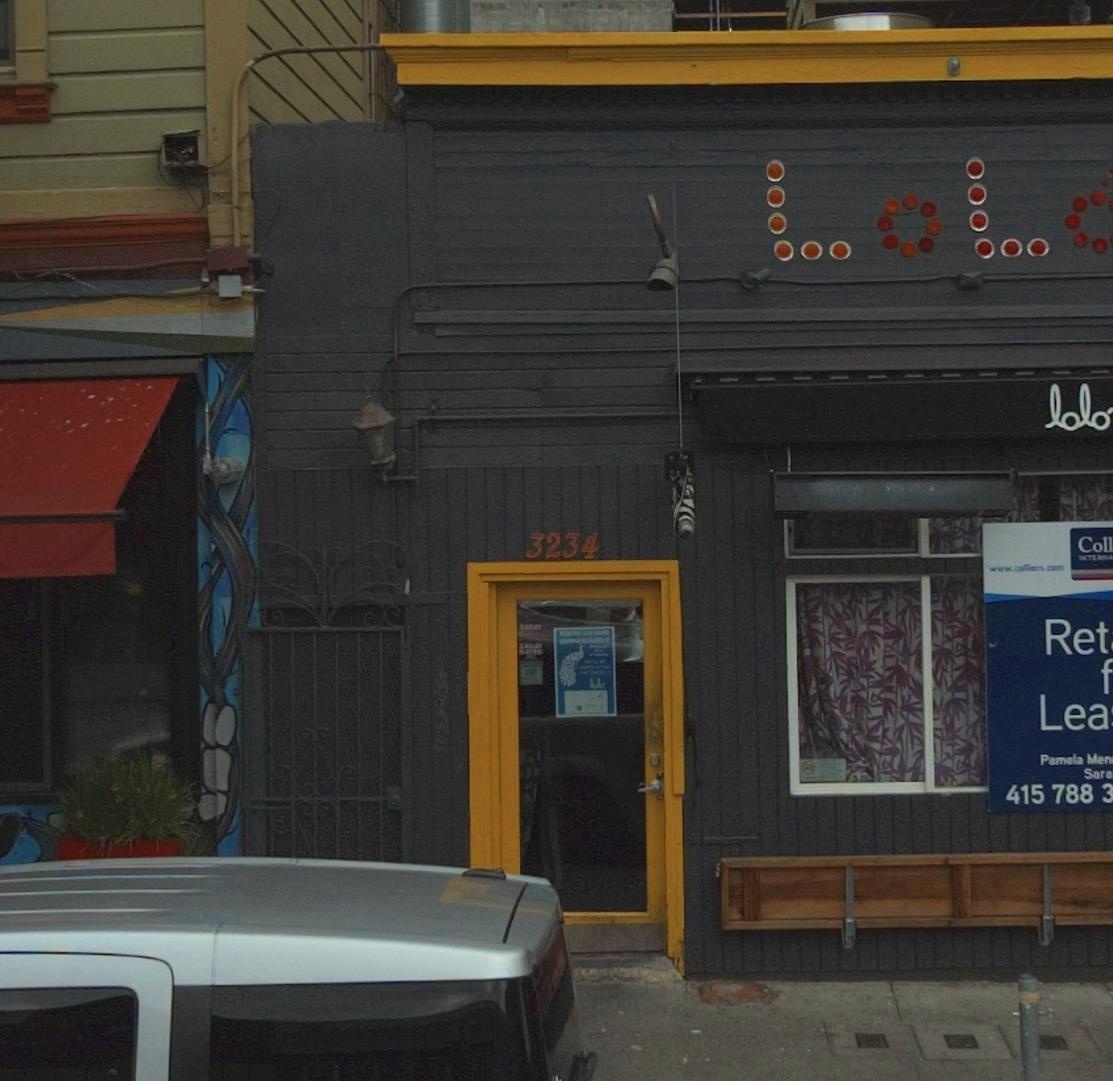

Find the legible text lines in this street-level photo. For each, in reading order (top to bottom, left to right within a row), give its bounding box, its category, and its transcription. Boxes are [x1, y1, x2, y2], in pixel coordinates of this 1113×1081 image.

[763, 154, 1055, 264] None: LoL
[1043, 380, 1112, 431] None: lolo
[523, 530, 602, 560] StreetNumber: 3234
[1076, 532, 1113, 554] None: Coll
[1041, 616, 1113, 659] None: Ret
[1098, 657, 1113, 696] None: f
[1037, 691, 1111, 734] None: Lea
[1038, 752, 1112, 767] None: Pamela Men
[1081, 768, 1113, 781] None: Sara
[1003, 782, 1113, 808] None: 415 788 3